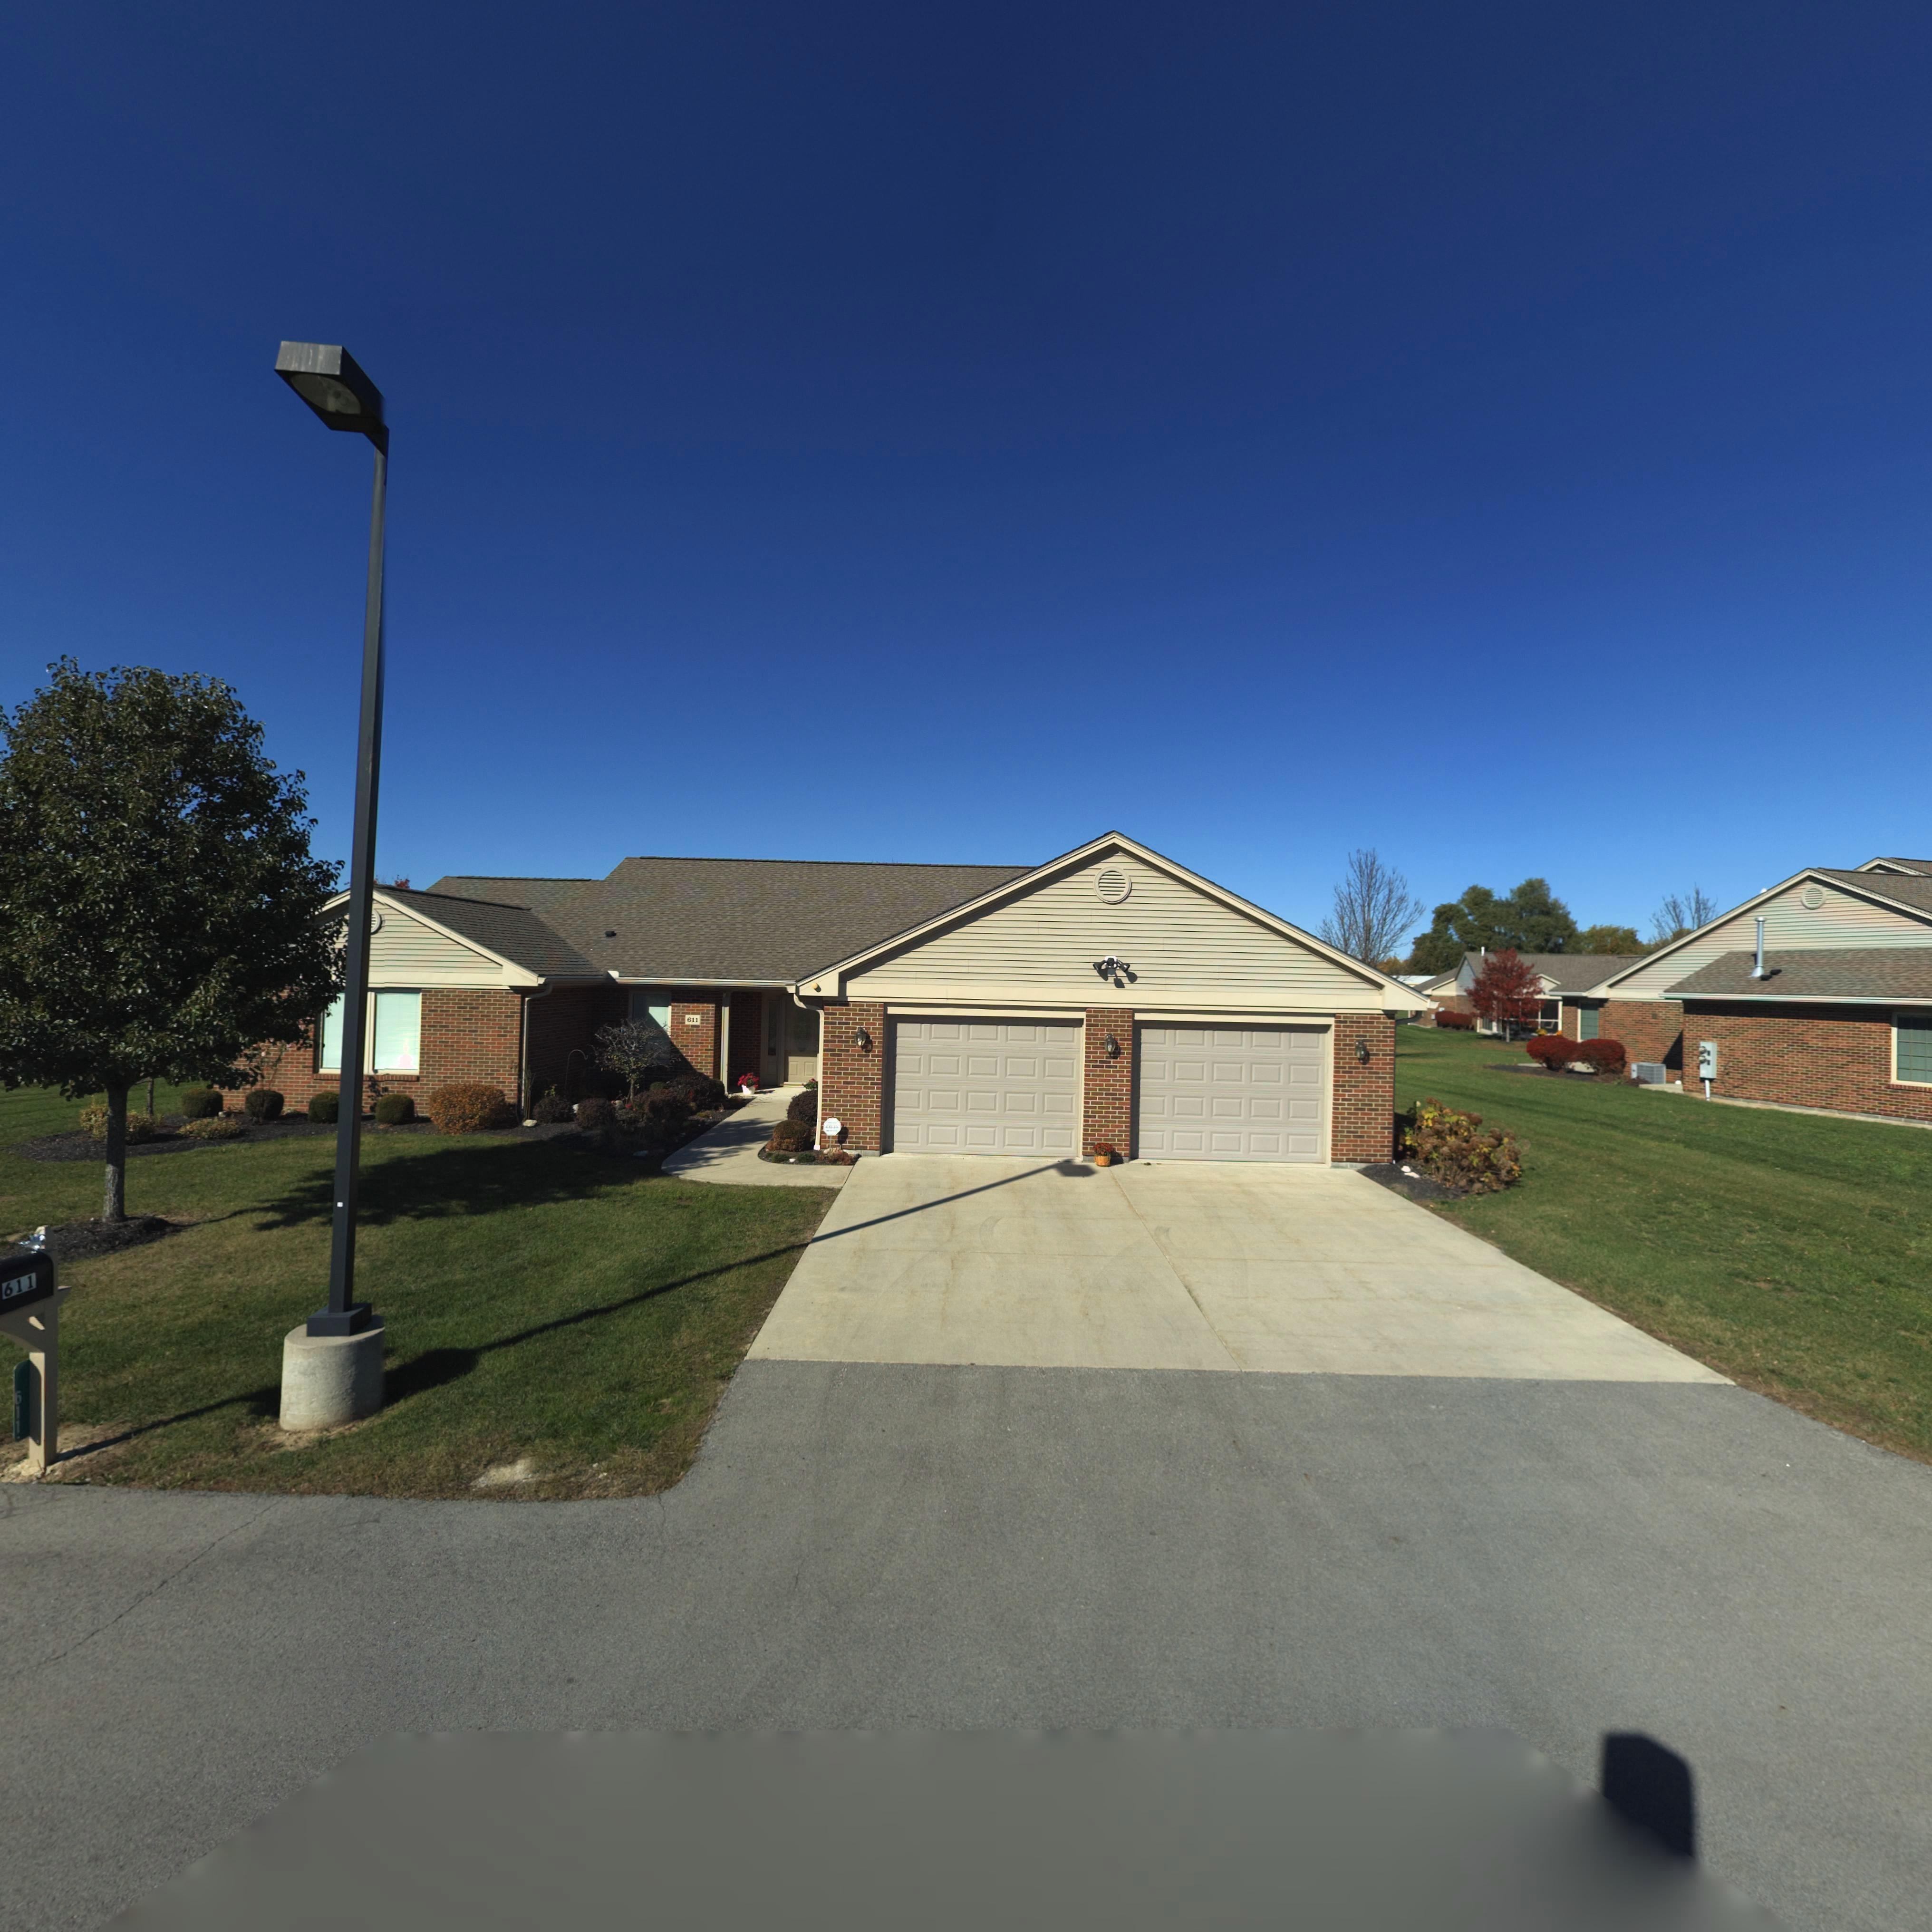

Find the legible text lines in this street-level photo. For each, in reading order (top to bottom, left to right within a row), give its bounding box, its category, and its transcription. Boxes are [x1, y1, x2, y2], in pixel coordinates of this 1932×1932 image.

[687, 1017, 698, 1023] StreetNumber: 611
[4, 1274, 34, 1298] StreetNumber: 611
[14, 1388, 22, 1434] StreetNumber: 611